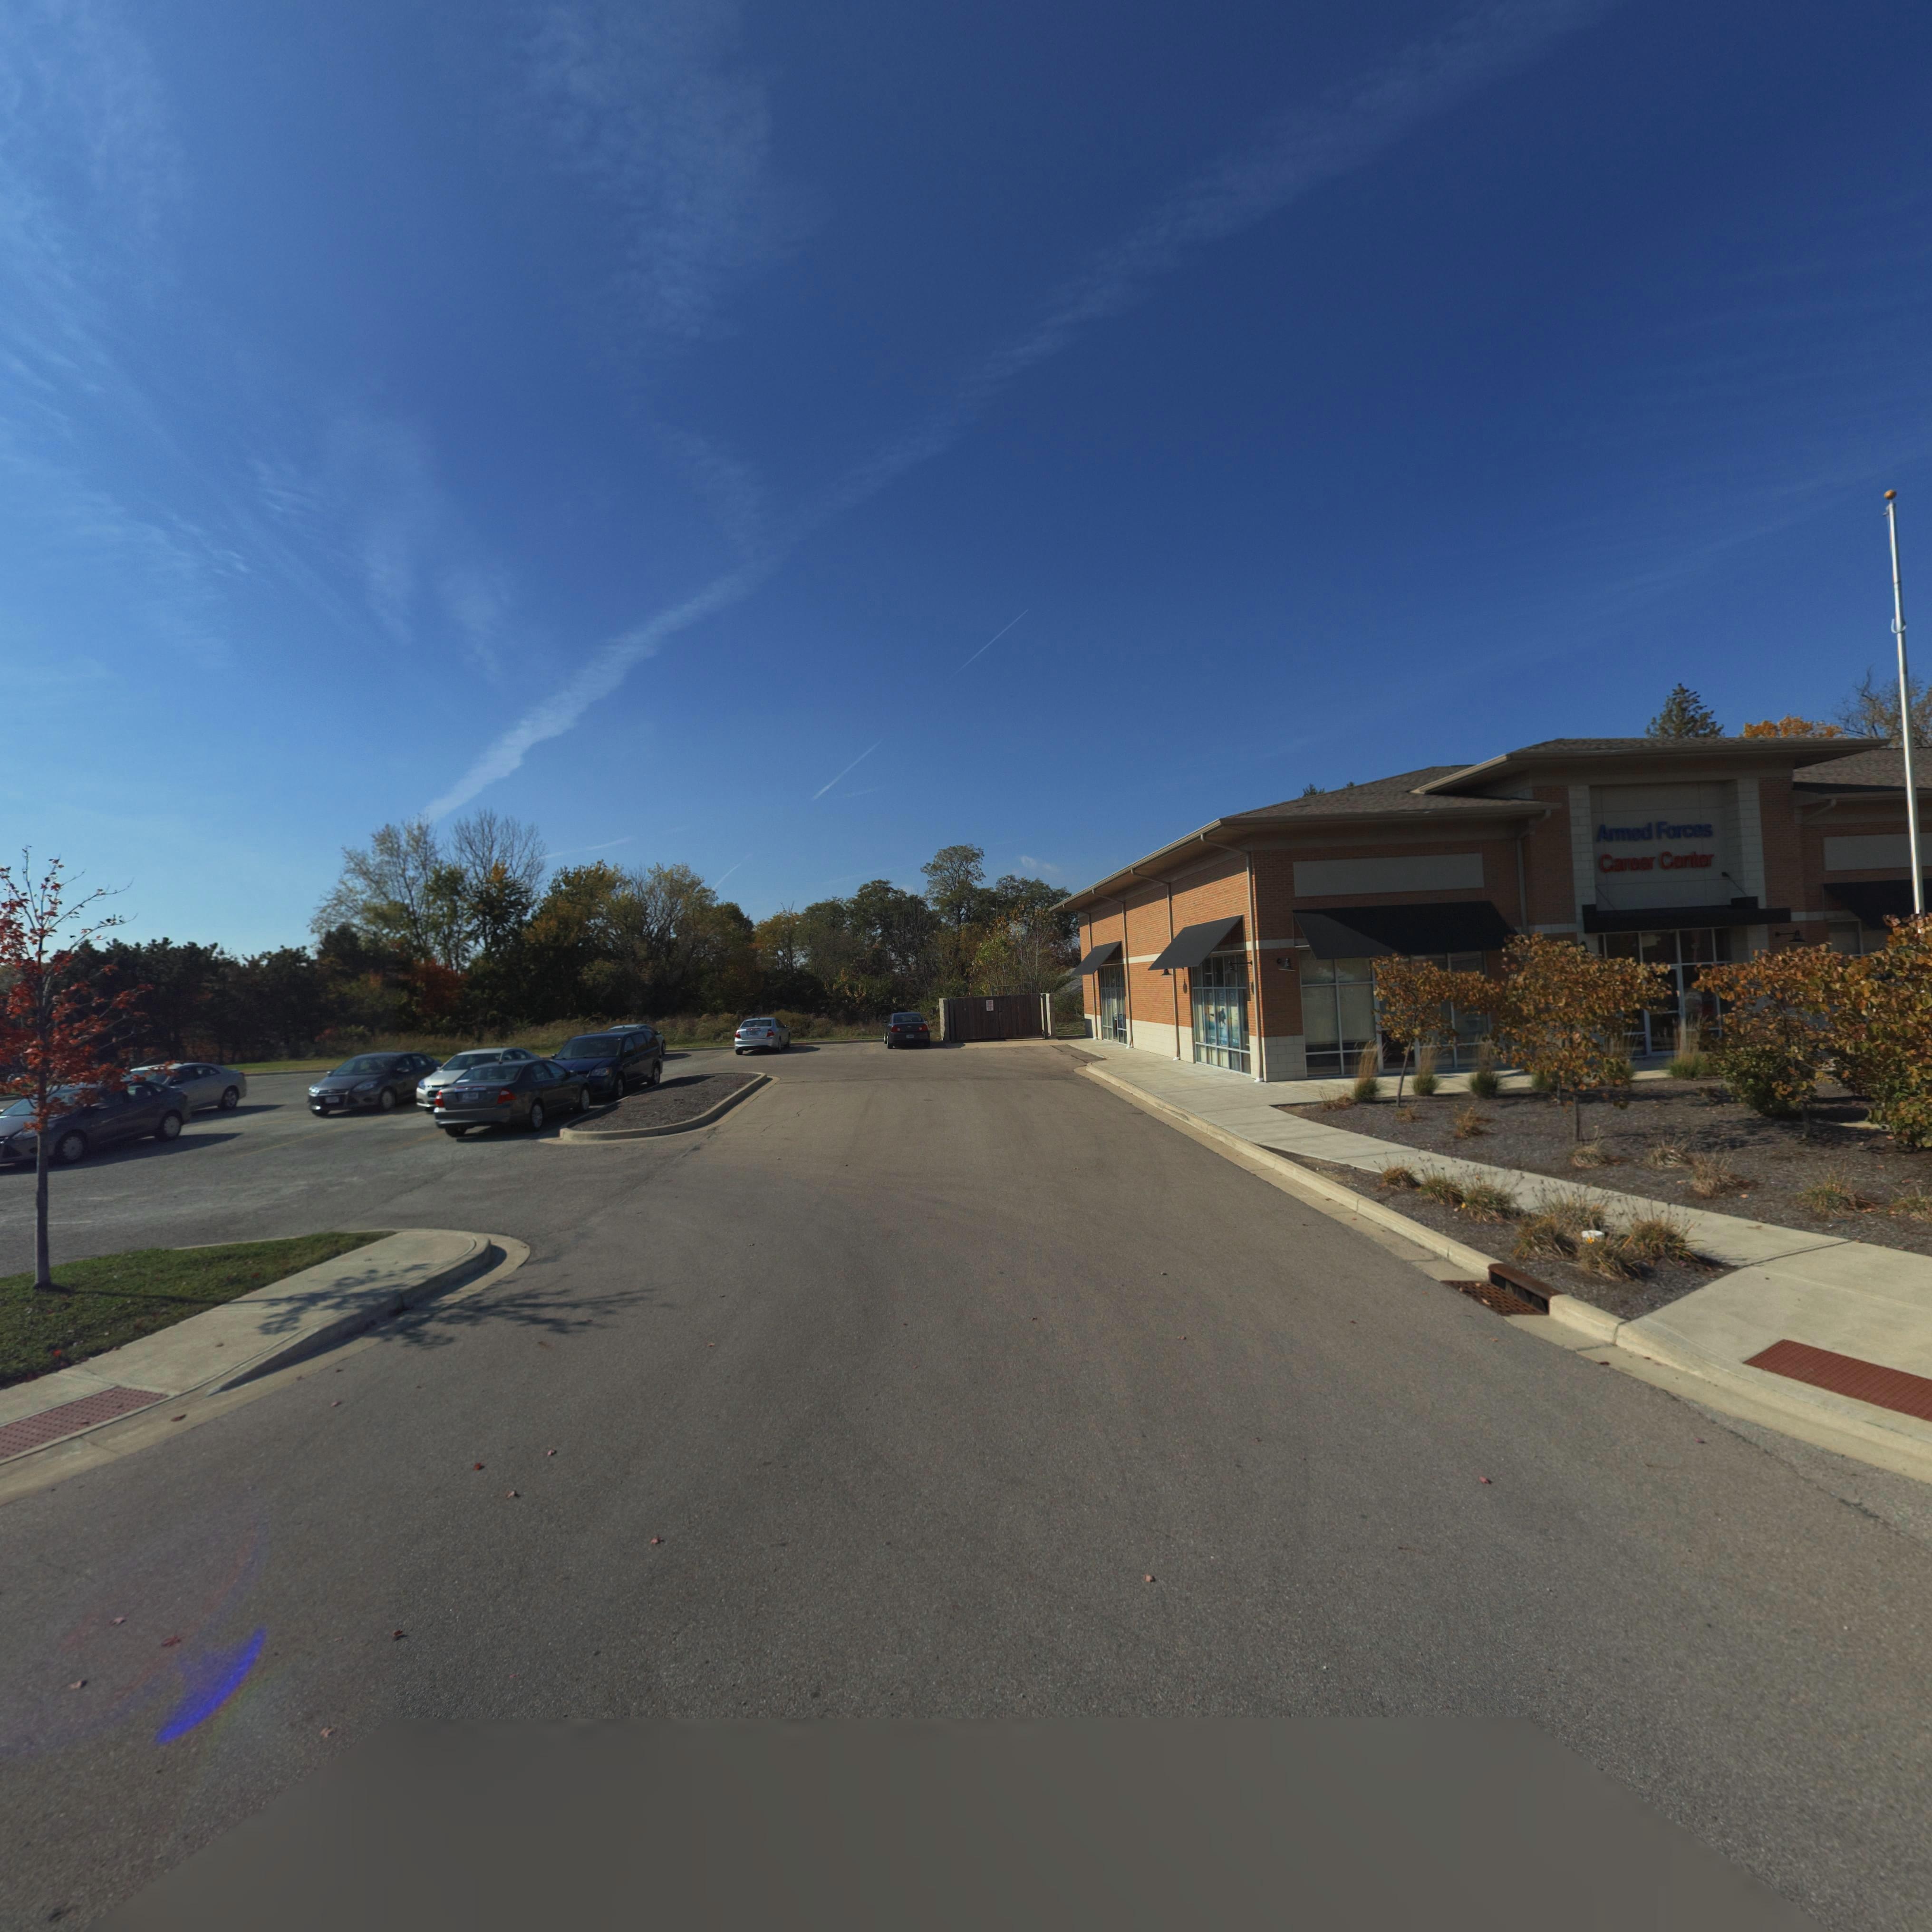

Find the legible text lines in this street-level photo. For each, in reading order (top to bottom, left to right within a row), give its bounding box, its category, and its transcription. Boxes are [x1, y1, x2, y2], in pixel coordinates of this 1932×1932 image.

[1595, 820, 1716, 843] BusinessName: Armed Forces
[1598, 850, 1716, 873] BusinessName: Career Center